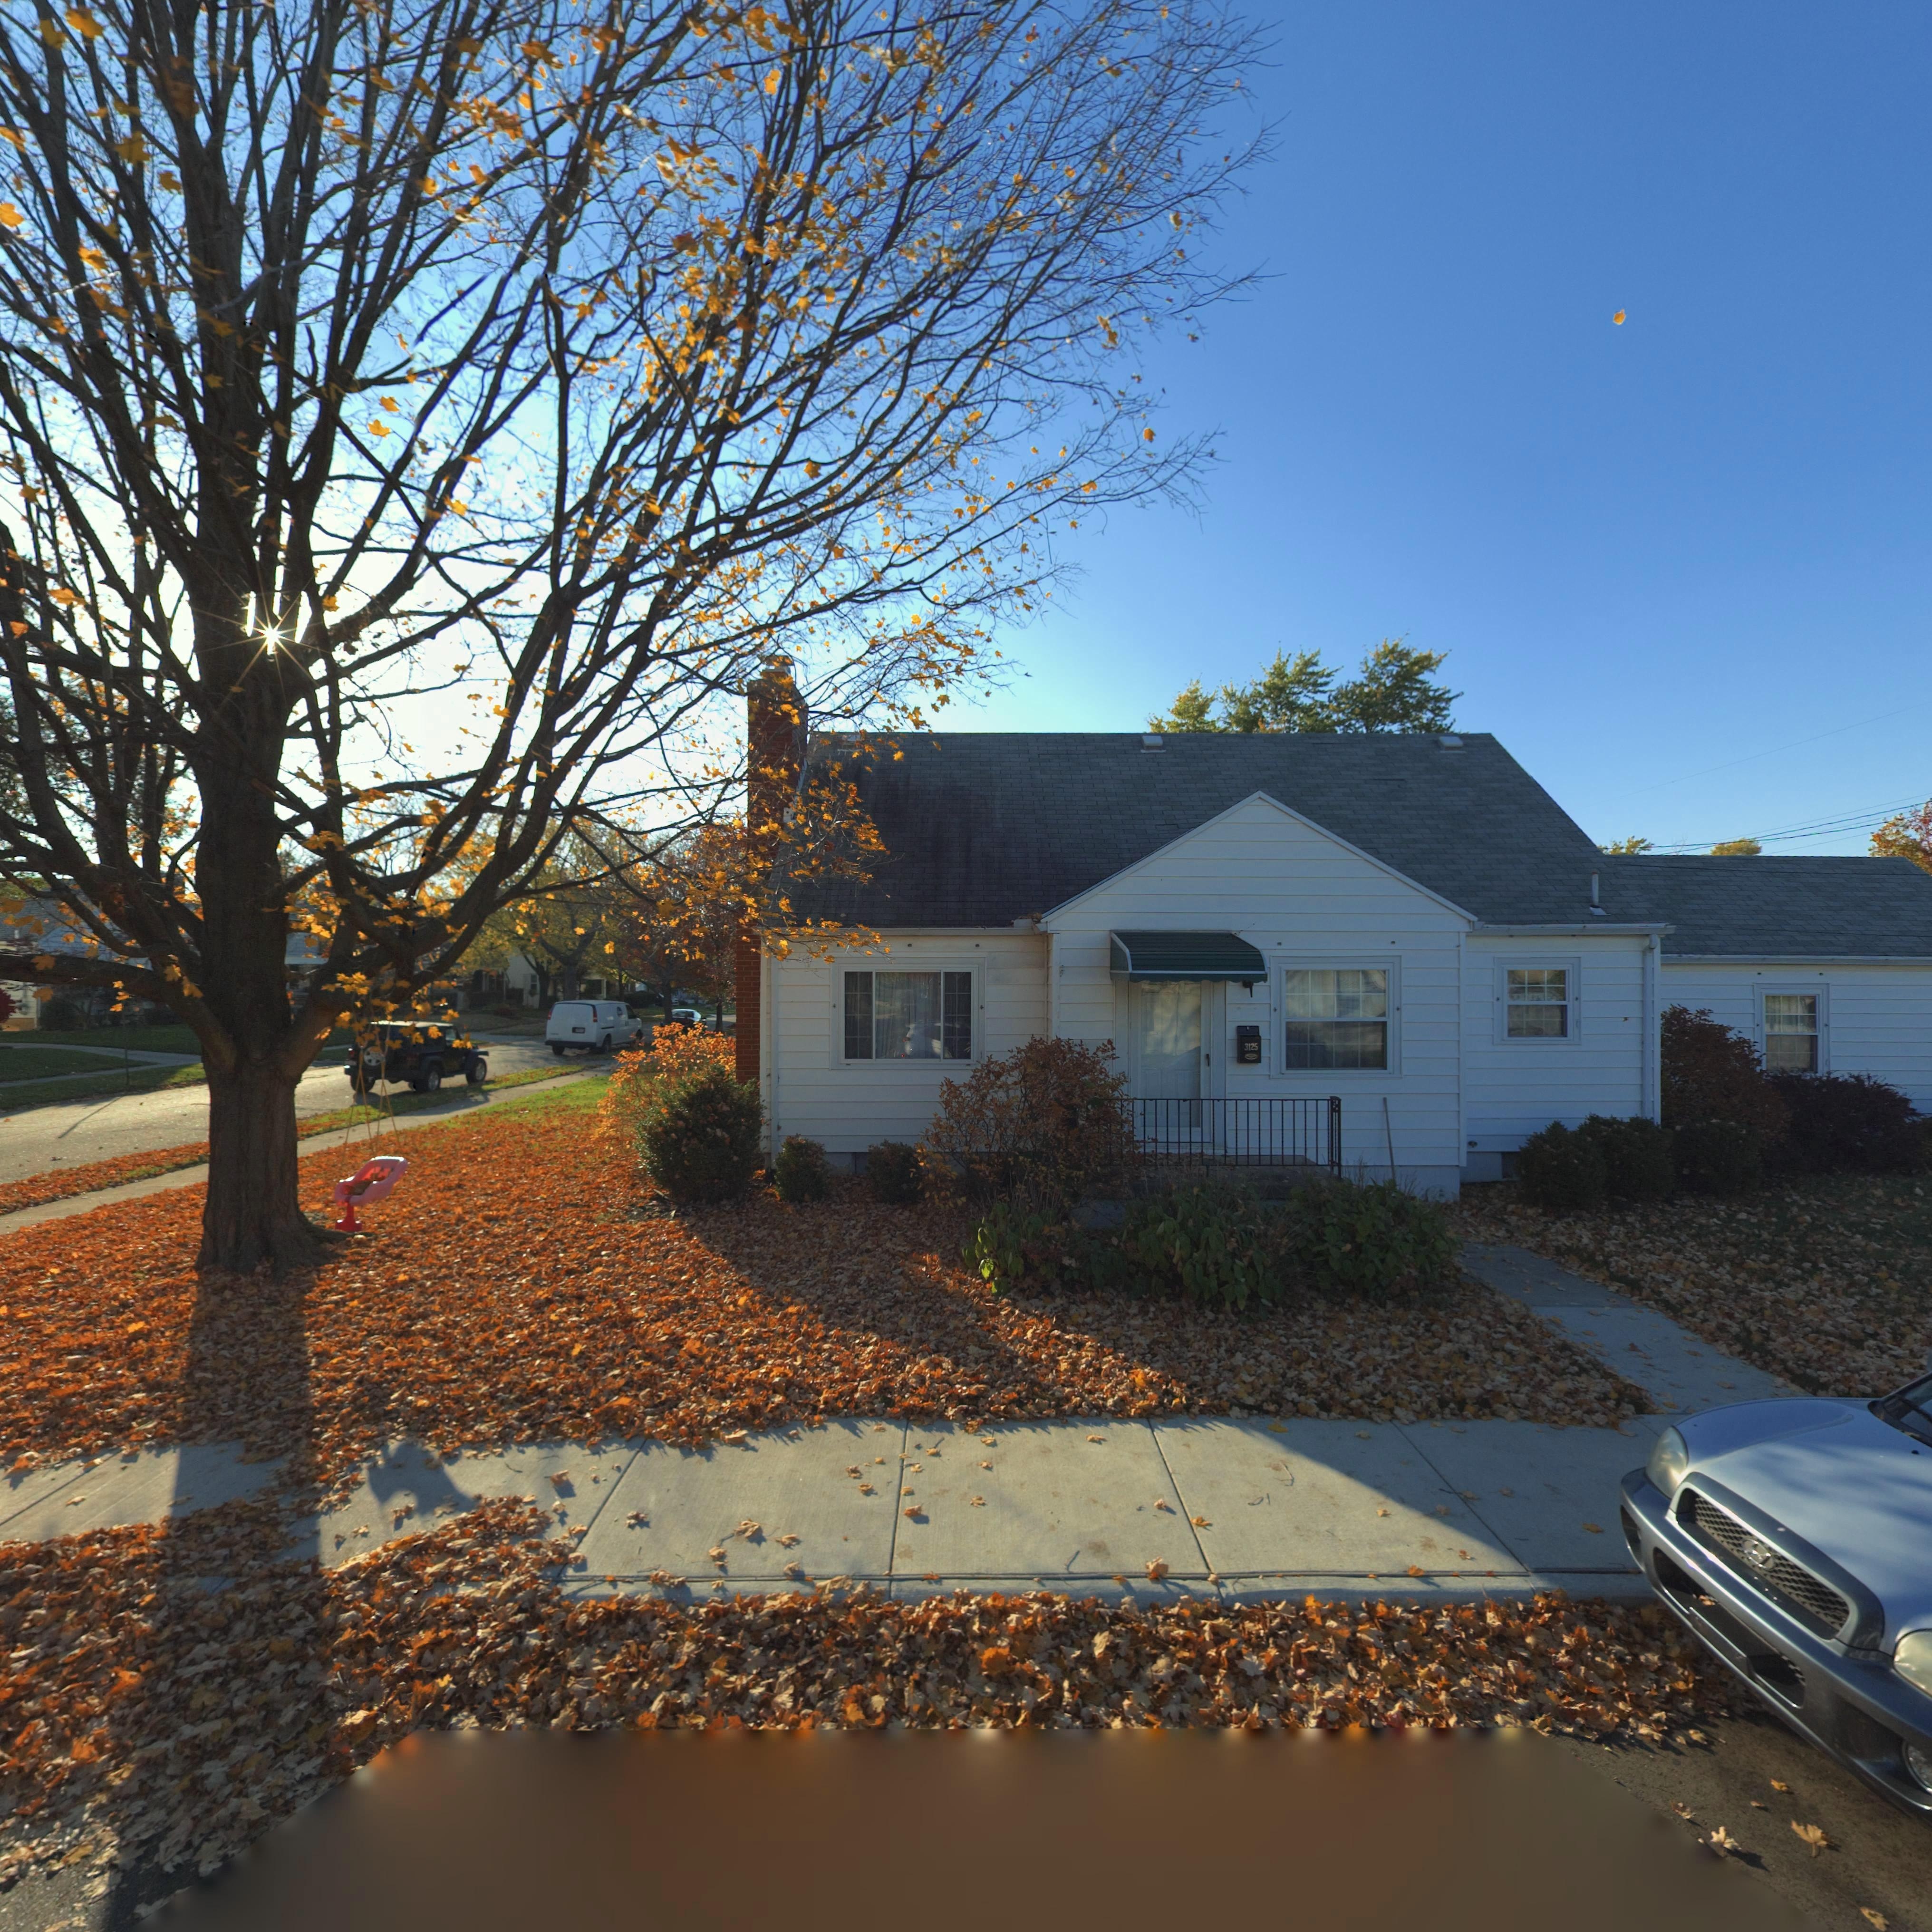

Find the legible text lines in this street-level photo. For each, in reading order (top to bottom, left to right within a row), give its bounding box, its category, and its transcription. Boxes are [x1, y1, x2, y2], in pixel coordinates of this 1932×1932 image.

[1244, 1042, 1259, 1052] StreetNumber: 3125